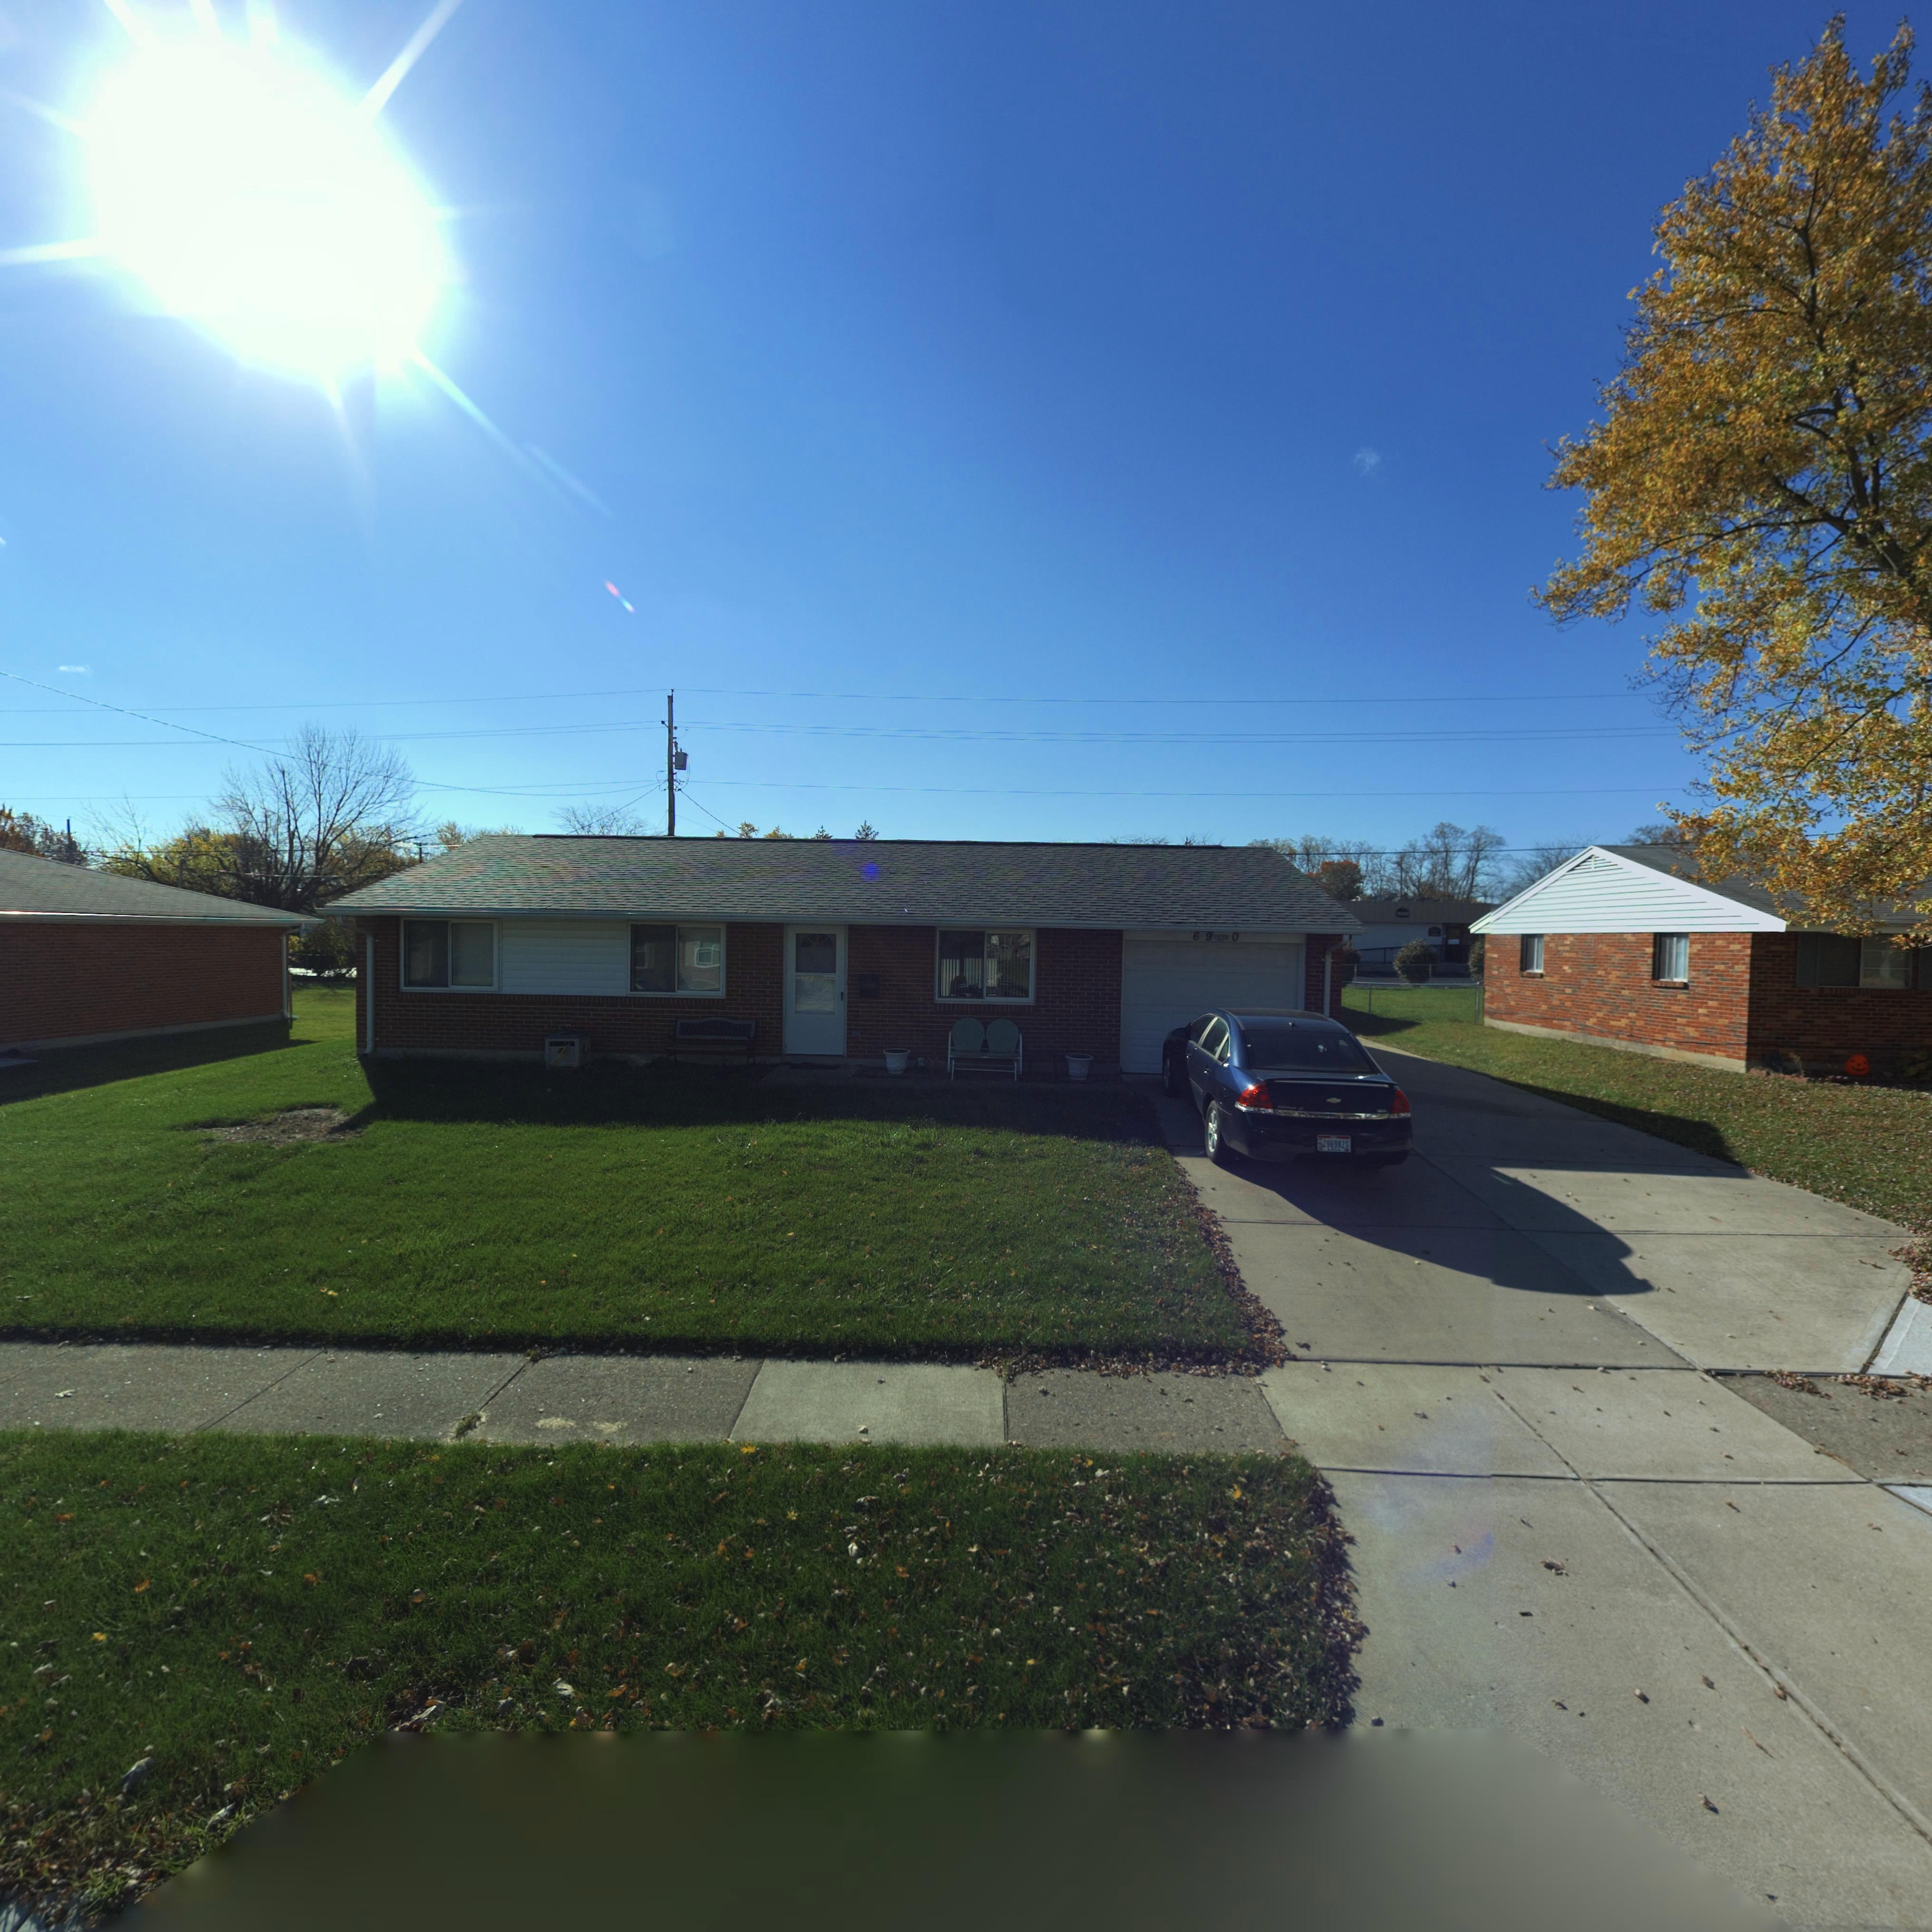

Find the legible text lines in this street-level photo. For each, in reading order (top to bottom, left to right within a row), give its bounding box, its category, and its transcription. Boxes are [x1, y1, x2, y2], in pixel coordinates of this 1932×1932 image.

[1193, 931, 1239, 942] StreetNumber: 69*0